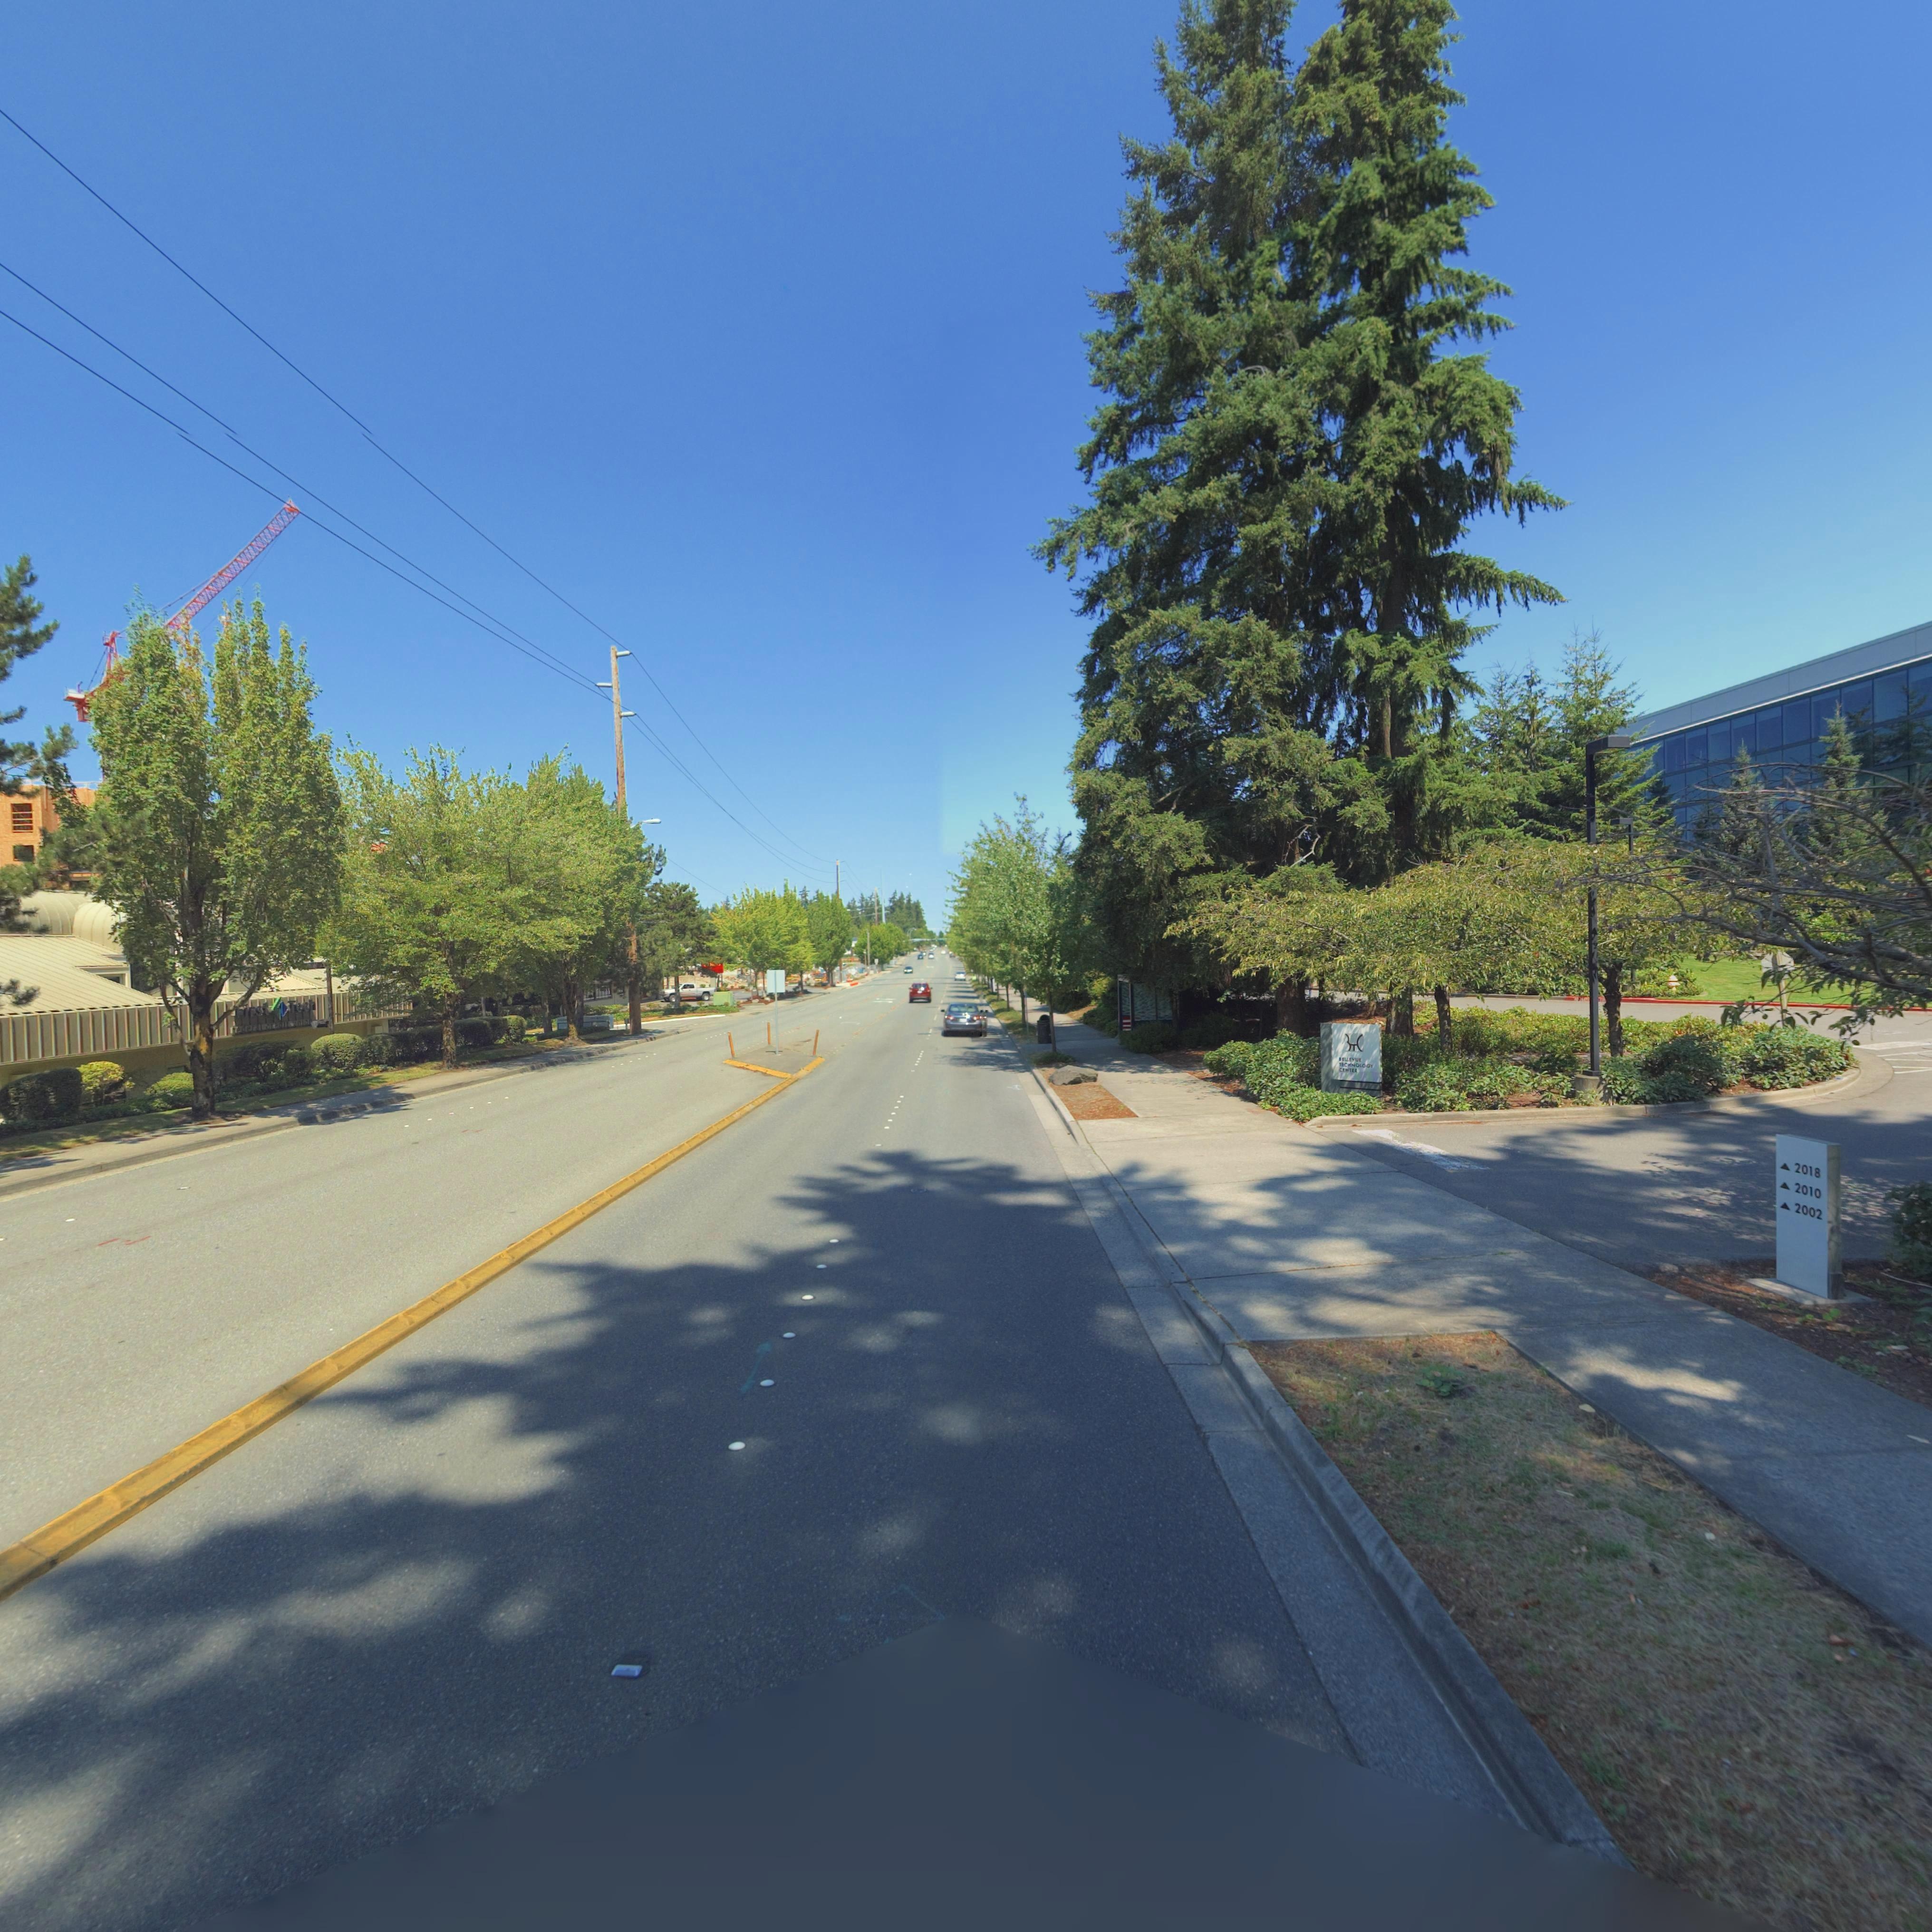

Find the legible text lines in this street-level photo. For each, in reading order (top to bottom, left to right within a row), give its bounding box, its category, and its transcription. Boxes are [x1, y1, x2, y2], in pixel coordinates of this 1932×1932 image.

[1339, 1067, 1358, 1073] BusinessName: CENTER
[1338, 1057, 1362, 1062] BusinessName: BELLEVUE
[1339, 1062, 1373, 1068] BusinessName: TECHNOLOGY
[1794, 1162, 1821, 1179] StreetNumber: 2018
[1795, 1182, 1820, 1198] StreetNumber: 2010
[1794, 1203, 1822, 1220] StreetNumber: 2002